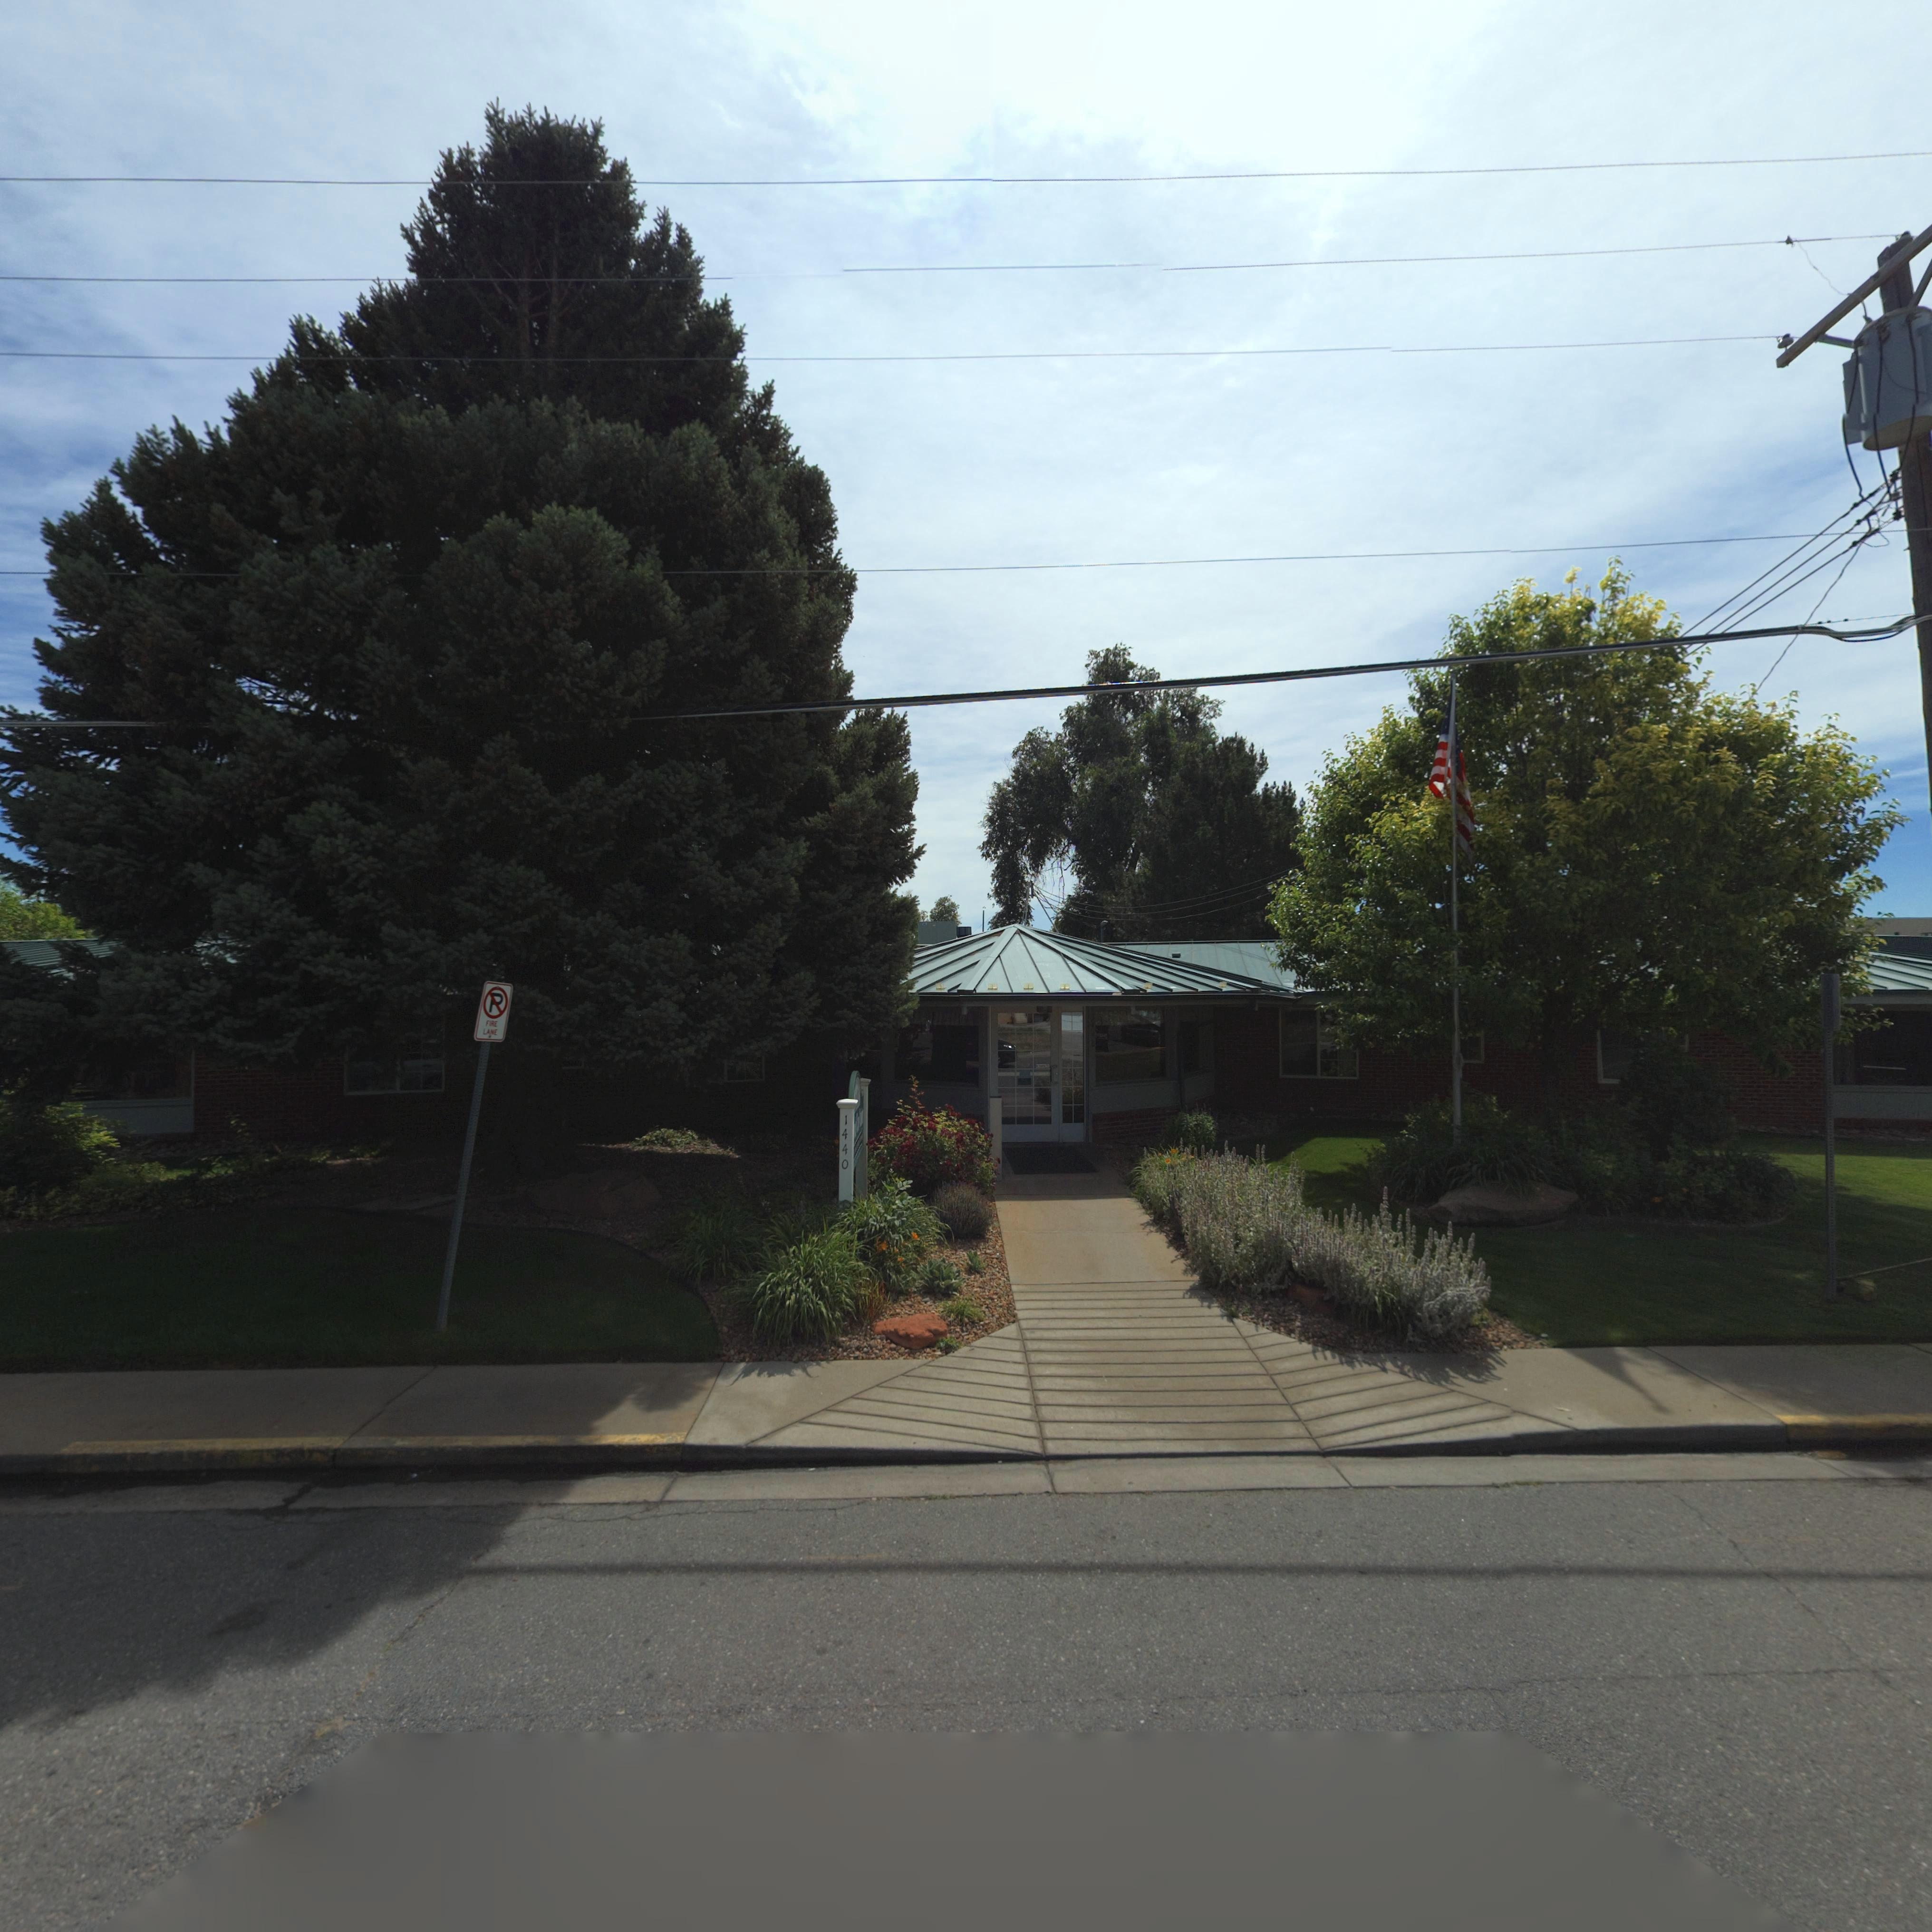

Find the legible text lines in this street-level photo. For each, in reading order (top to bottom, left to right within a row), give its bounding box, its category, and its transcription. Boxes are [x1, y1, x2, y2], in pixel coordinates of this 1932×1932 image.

[840, 1114, 849, 1170] StreetNumber: 1440